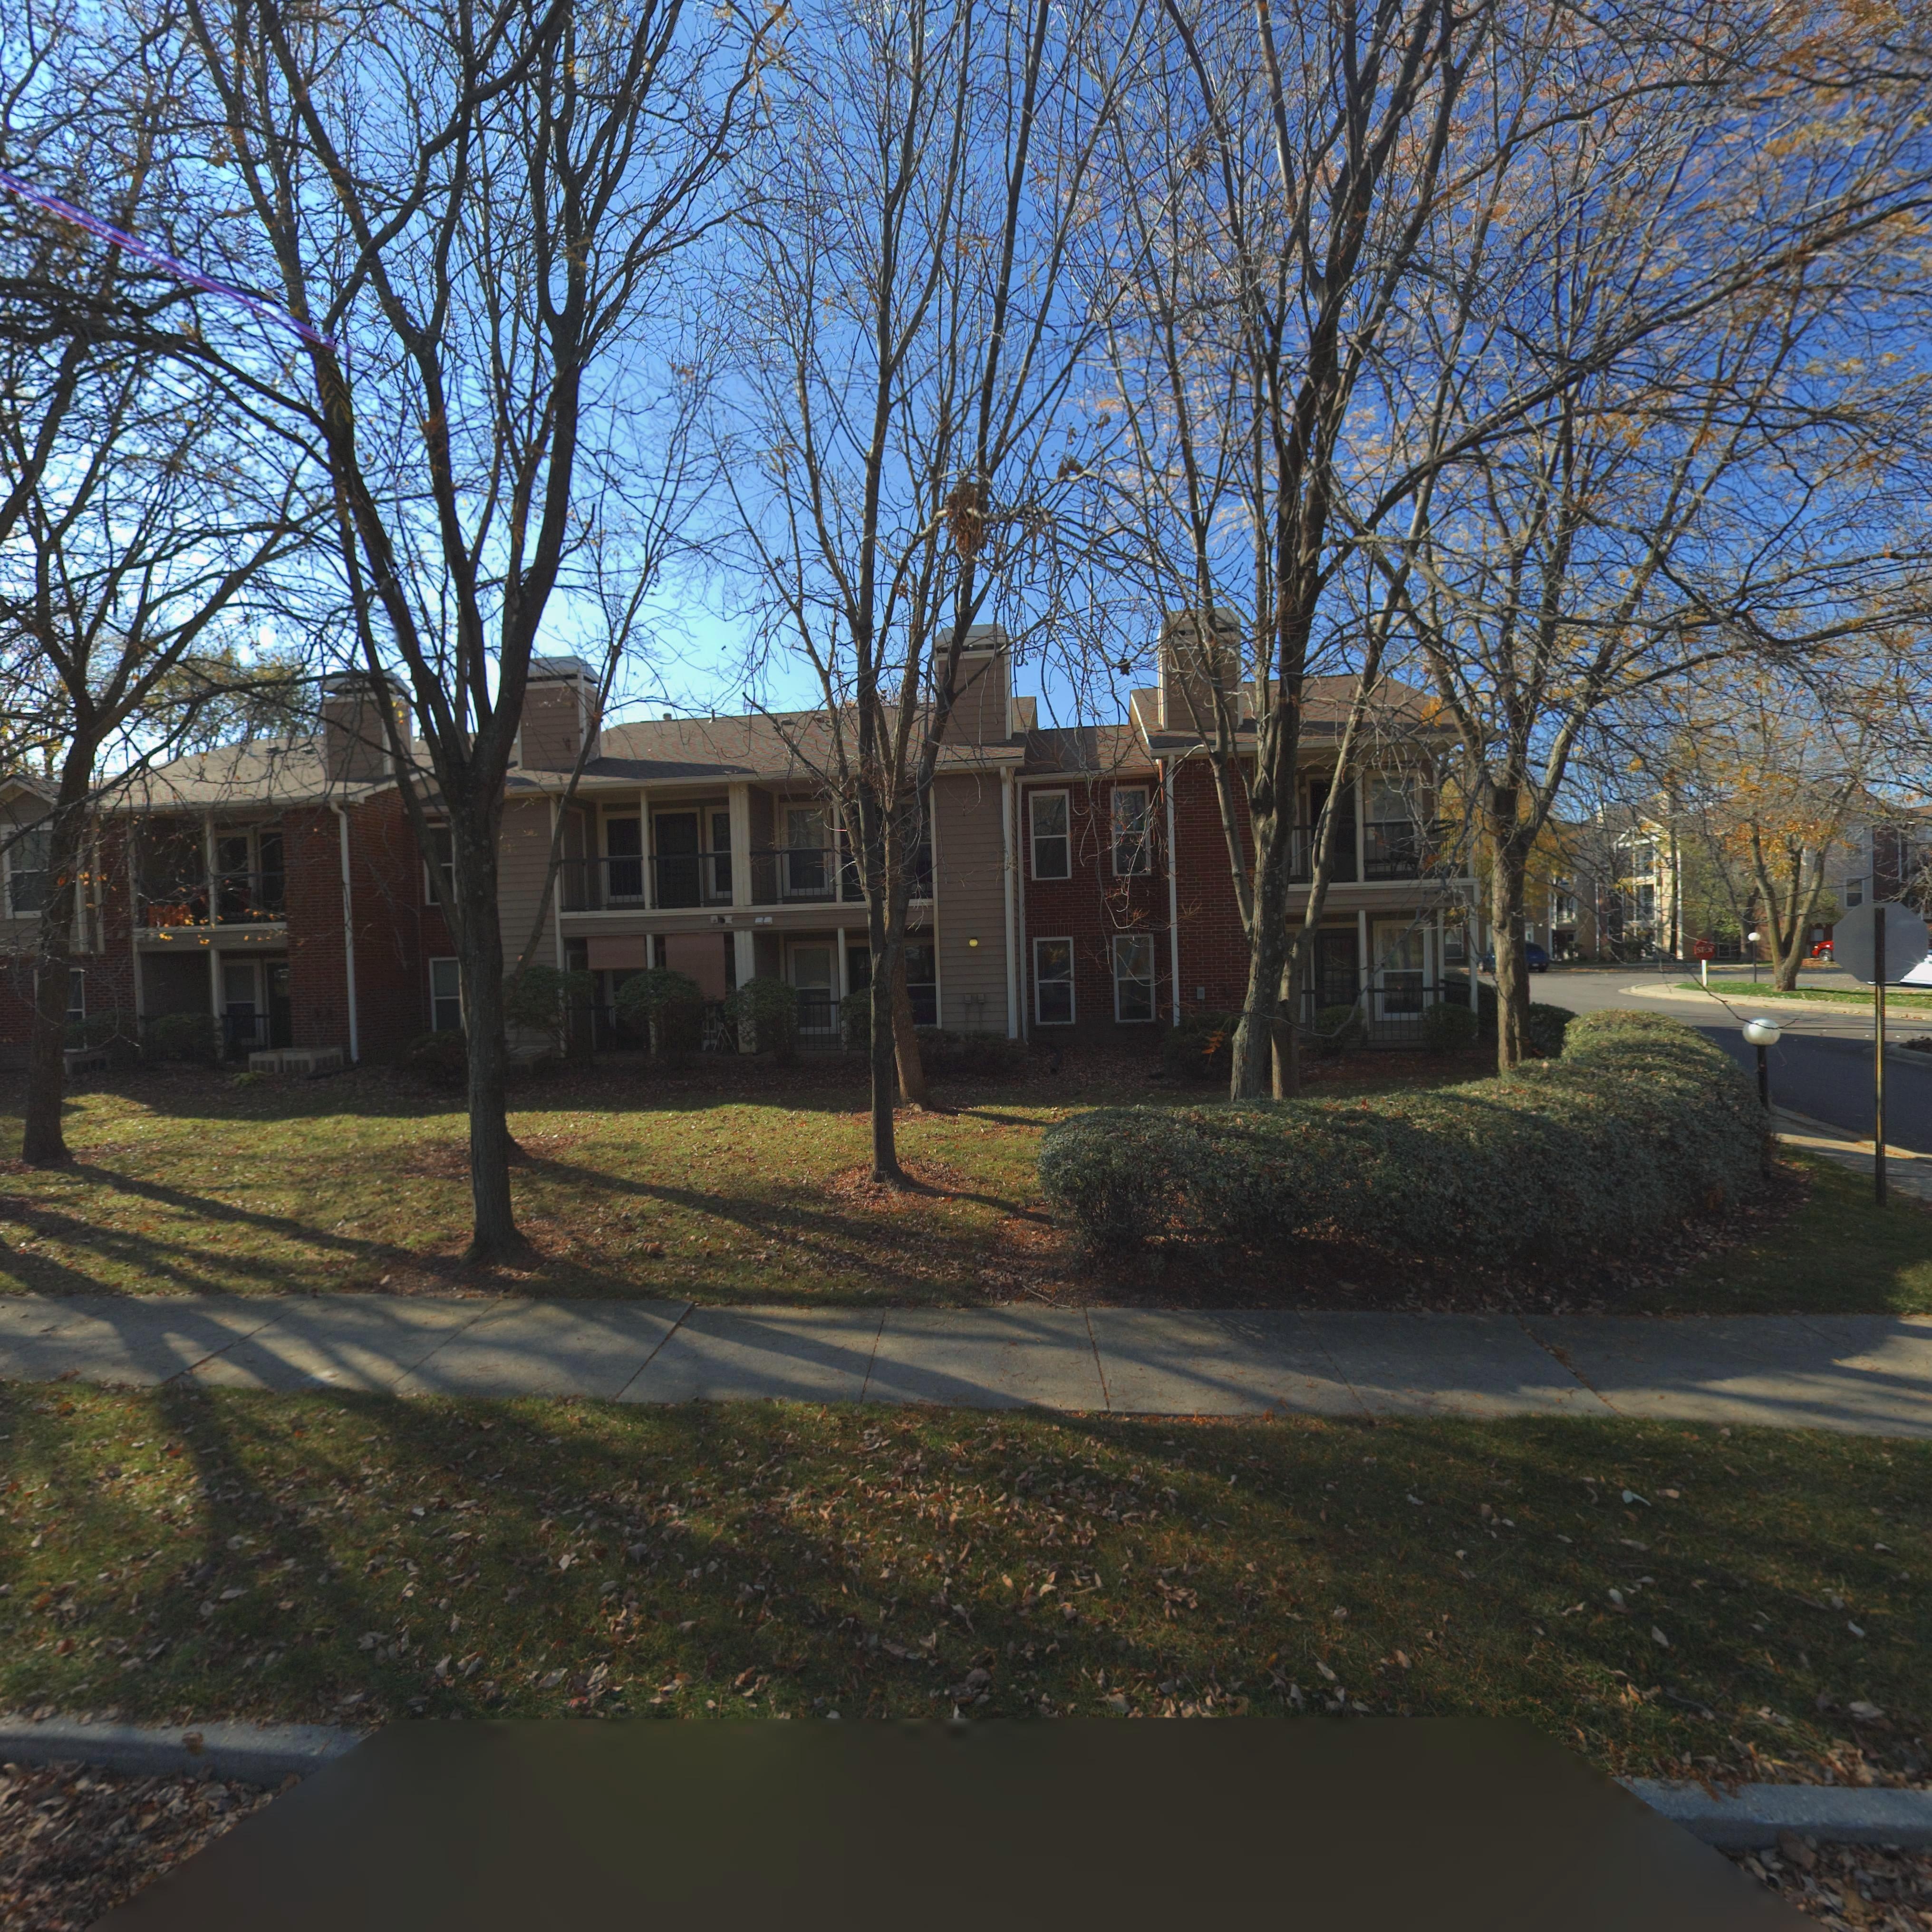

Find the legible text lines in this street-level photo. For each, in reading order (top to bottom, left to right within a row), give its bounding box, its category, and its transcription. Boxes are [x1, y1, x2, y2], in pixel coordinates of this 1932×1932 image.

[145, 904, 192, 927] None: *O*
[1695, 946, 1714, 953] None: ST**